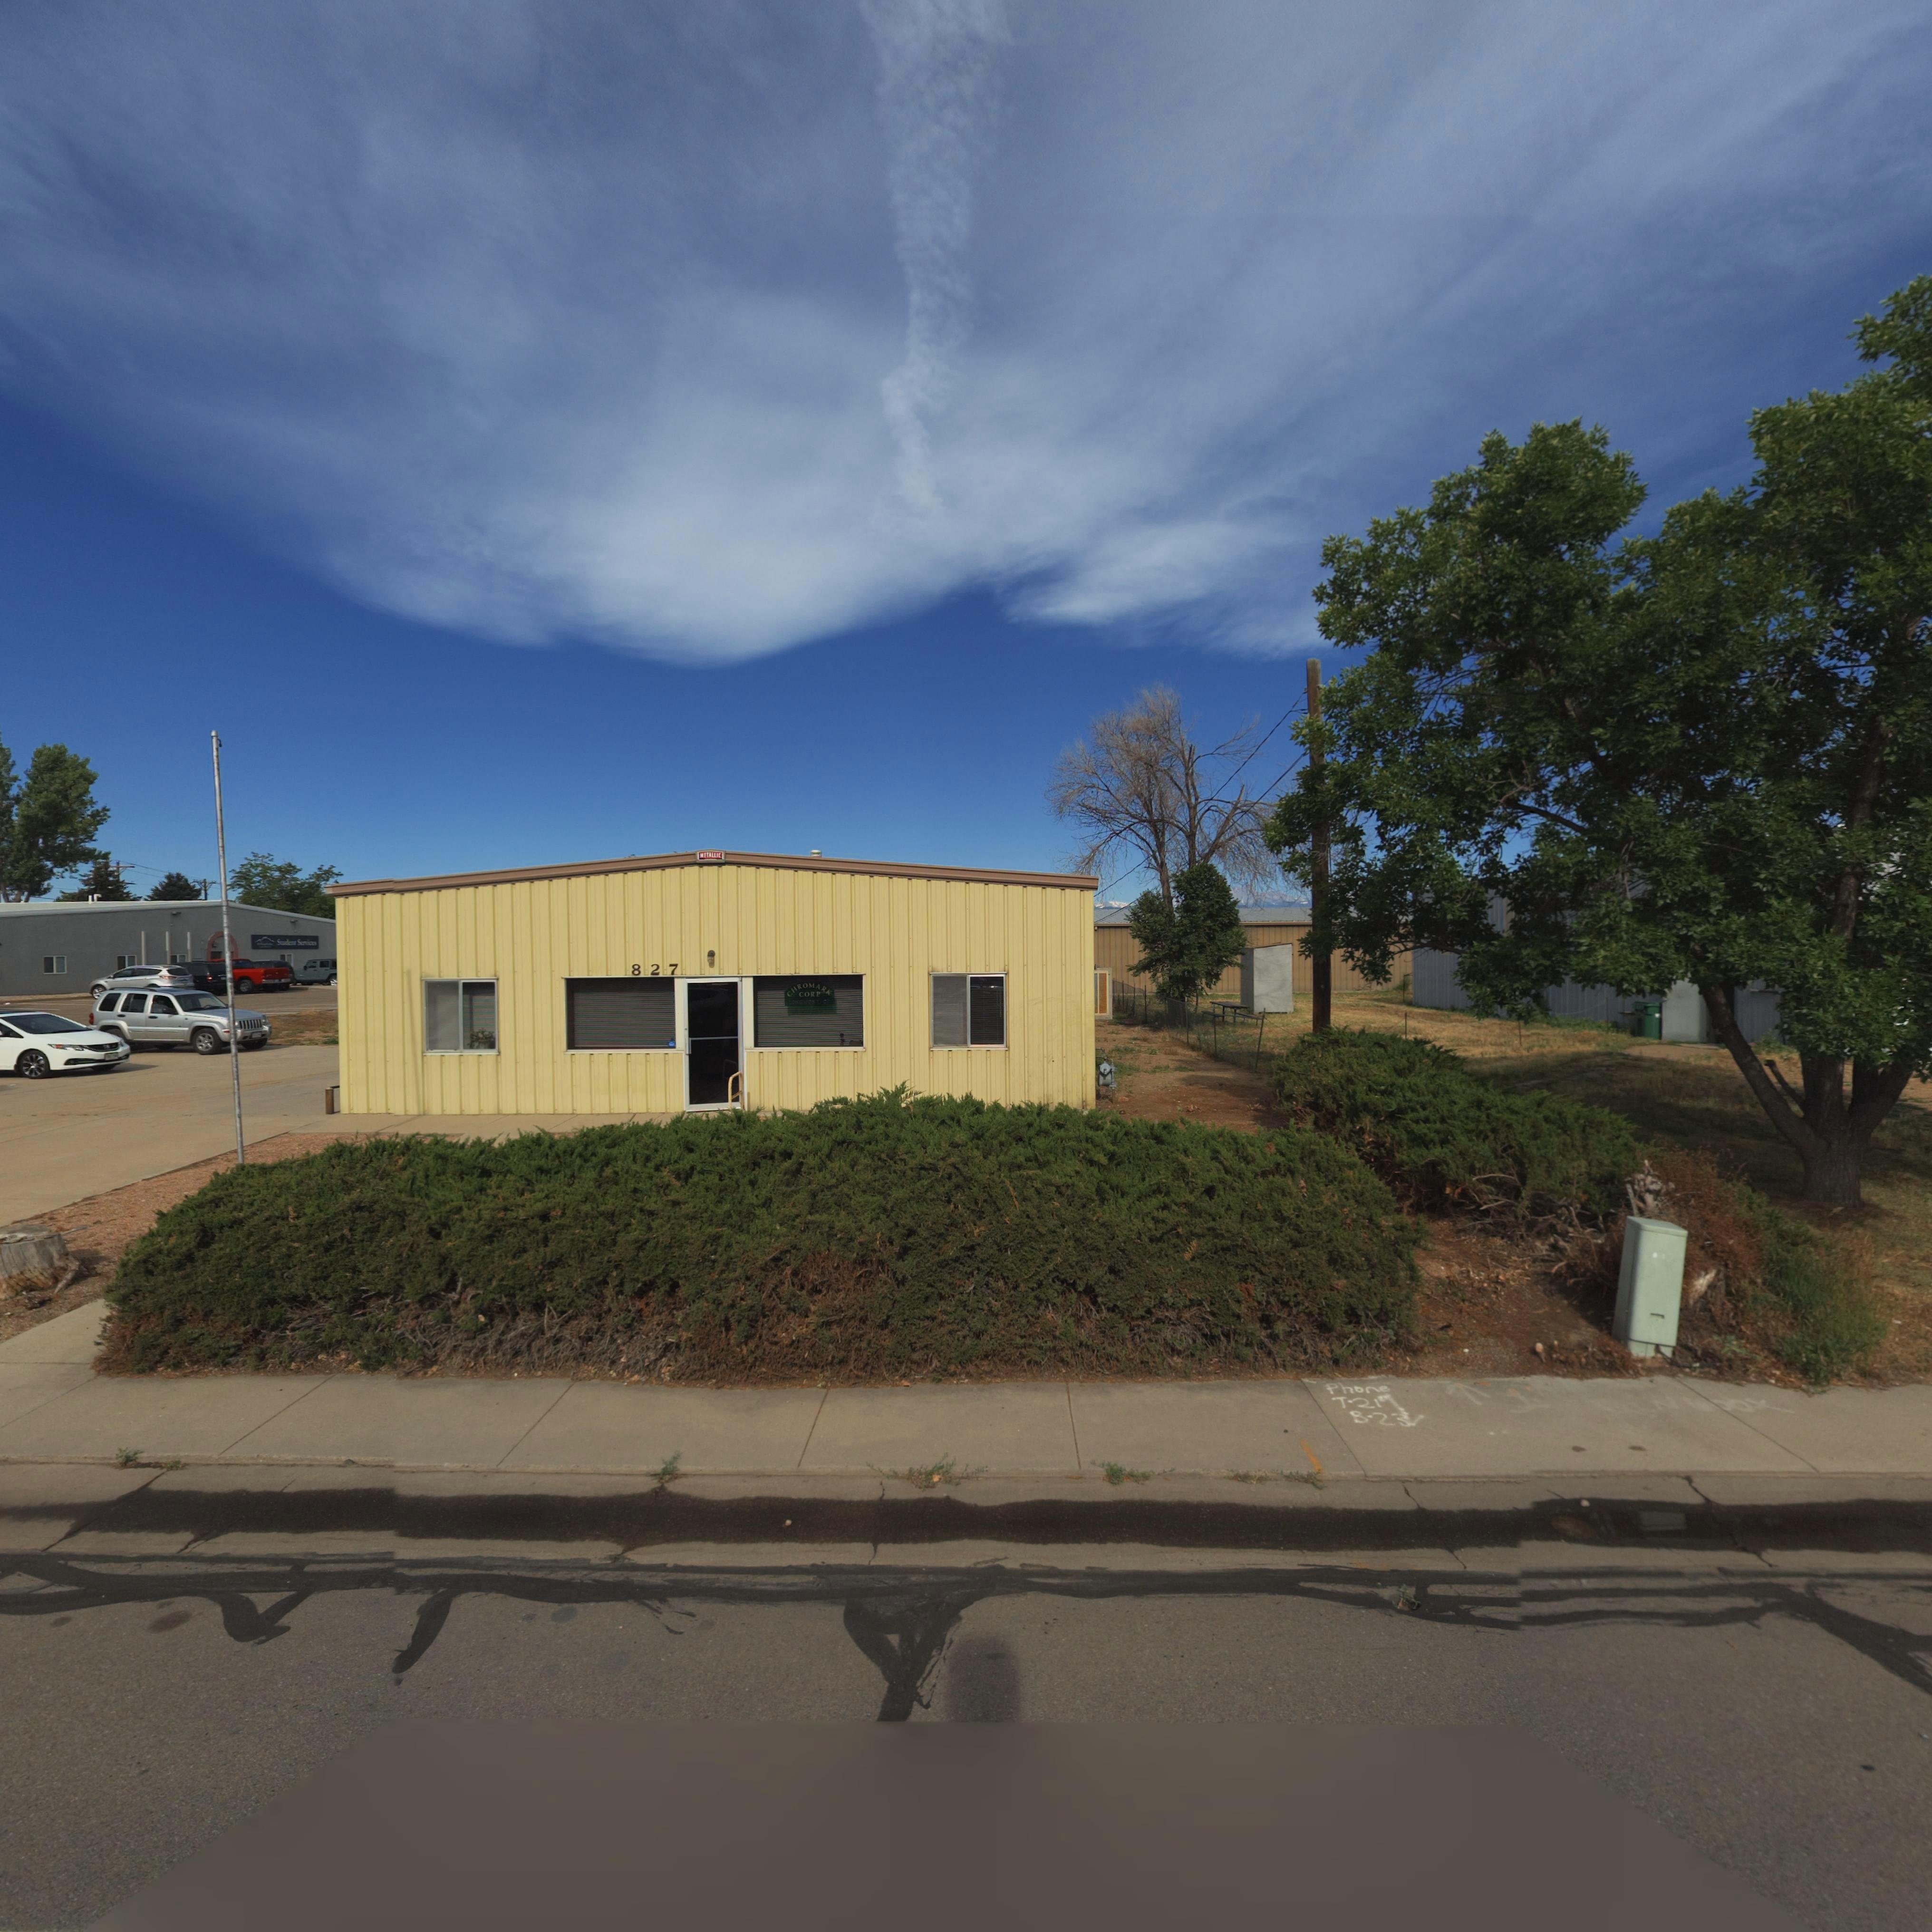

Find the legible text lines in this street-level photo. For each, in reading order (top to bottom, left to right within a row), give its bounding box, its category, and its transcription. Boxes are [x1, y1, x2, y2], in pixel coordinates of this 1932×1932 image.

[629, 961, 679, 976] StreetNumber: 827
[785, 982, 834, 998] BusinessName: CHROMARK
[798, 990, 821, 997] BusinessName: CORP